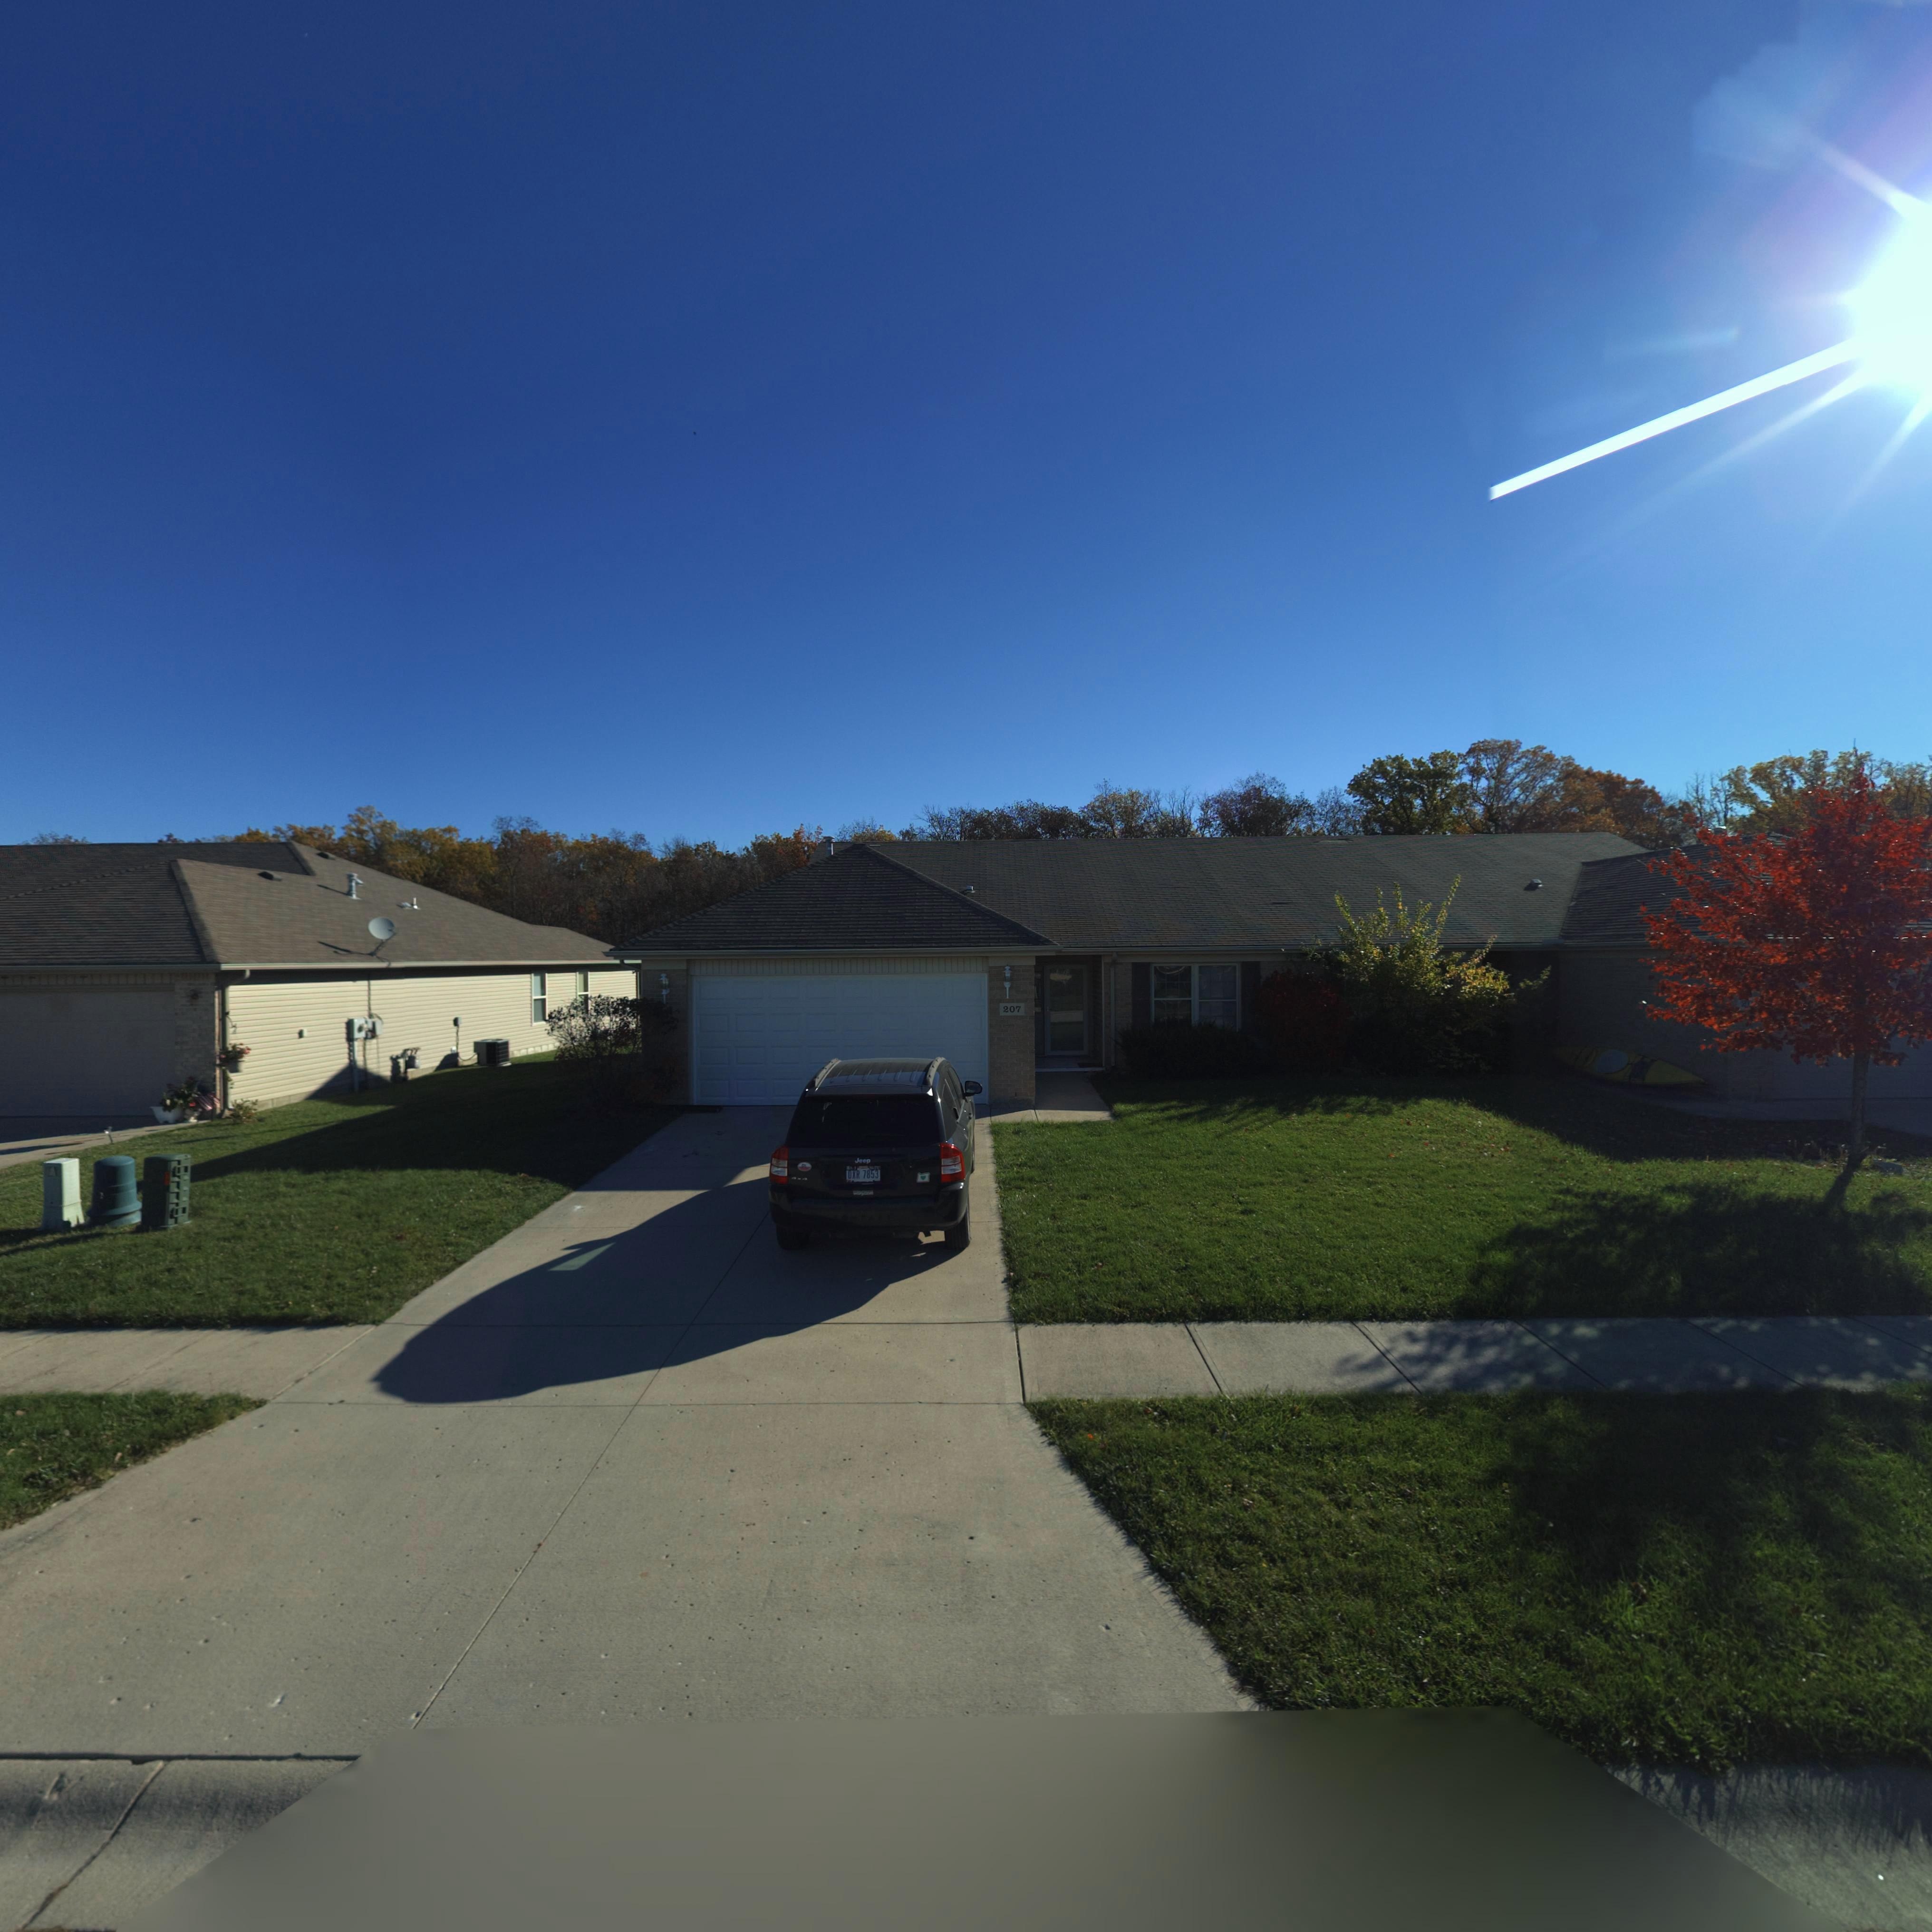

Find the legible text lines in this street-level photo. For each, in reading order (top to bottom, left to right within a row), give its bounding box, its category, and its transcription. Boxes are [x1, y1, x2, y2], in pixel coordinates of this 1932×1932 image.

[1003, 1005, 1022, 1013] StreetNumber: 207